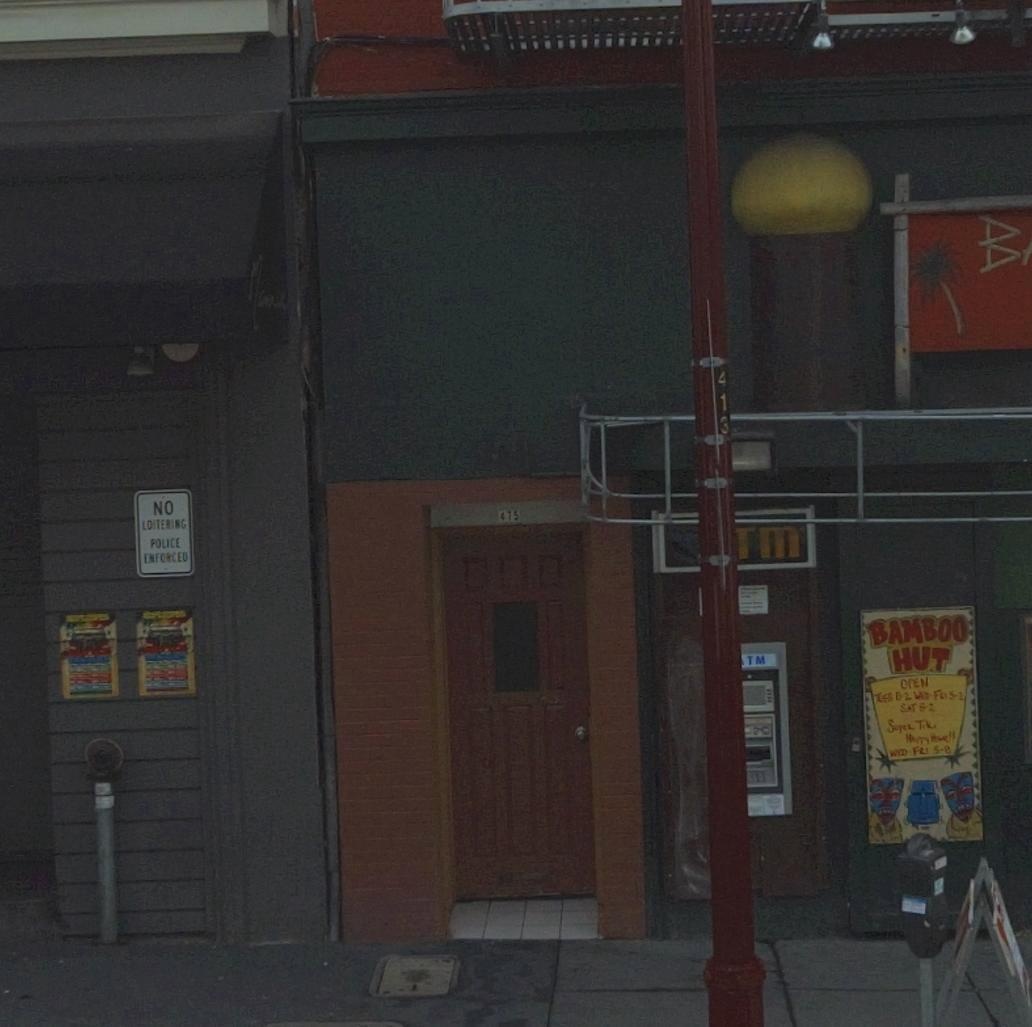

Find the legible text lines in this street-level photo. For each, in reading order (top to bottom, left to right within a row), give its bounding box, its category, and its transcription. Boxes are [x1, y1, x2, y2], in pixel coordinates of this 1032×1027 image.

[975, 209, 1028, 281] BusinessName: B
[716, 364, 731, 437] None: 413
[151, 497, 176, 521] None: NO
[139, 516, 190, 533] None: LOITERING
[498, 509, 520, 522] StreetNumber: 475
[148, 535, 184, 553] None: POLICE
[754, 523, 803, 563] None: M
[142, 549, 190, 566] None: ENFORCED
[865, 615, 972, 650] BusinessName: BAMBOO
[744, 653, 768, 668] None: TM
[889, 645, 954, 675] BusinessName: HUT
[898, 675, 930, 693] None: OPEN
[872, 688, 967, 706] None: TUES *-2 W*D:FRI 5-2
[898, 701, 937, 714] None: S*T * 2
[885, 717, 926, 735] None: Super T
[904, 729, 957, 747] None: Happy HouR!!
[889, 743, 954, 760] None: W*D-FRI 5-8